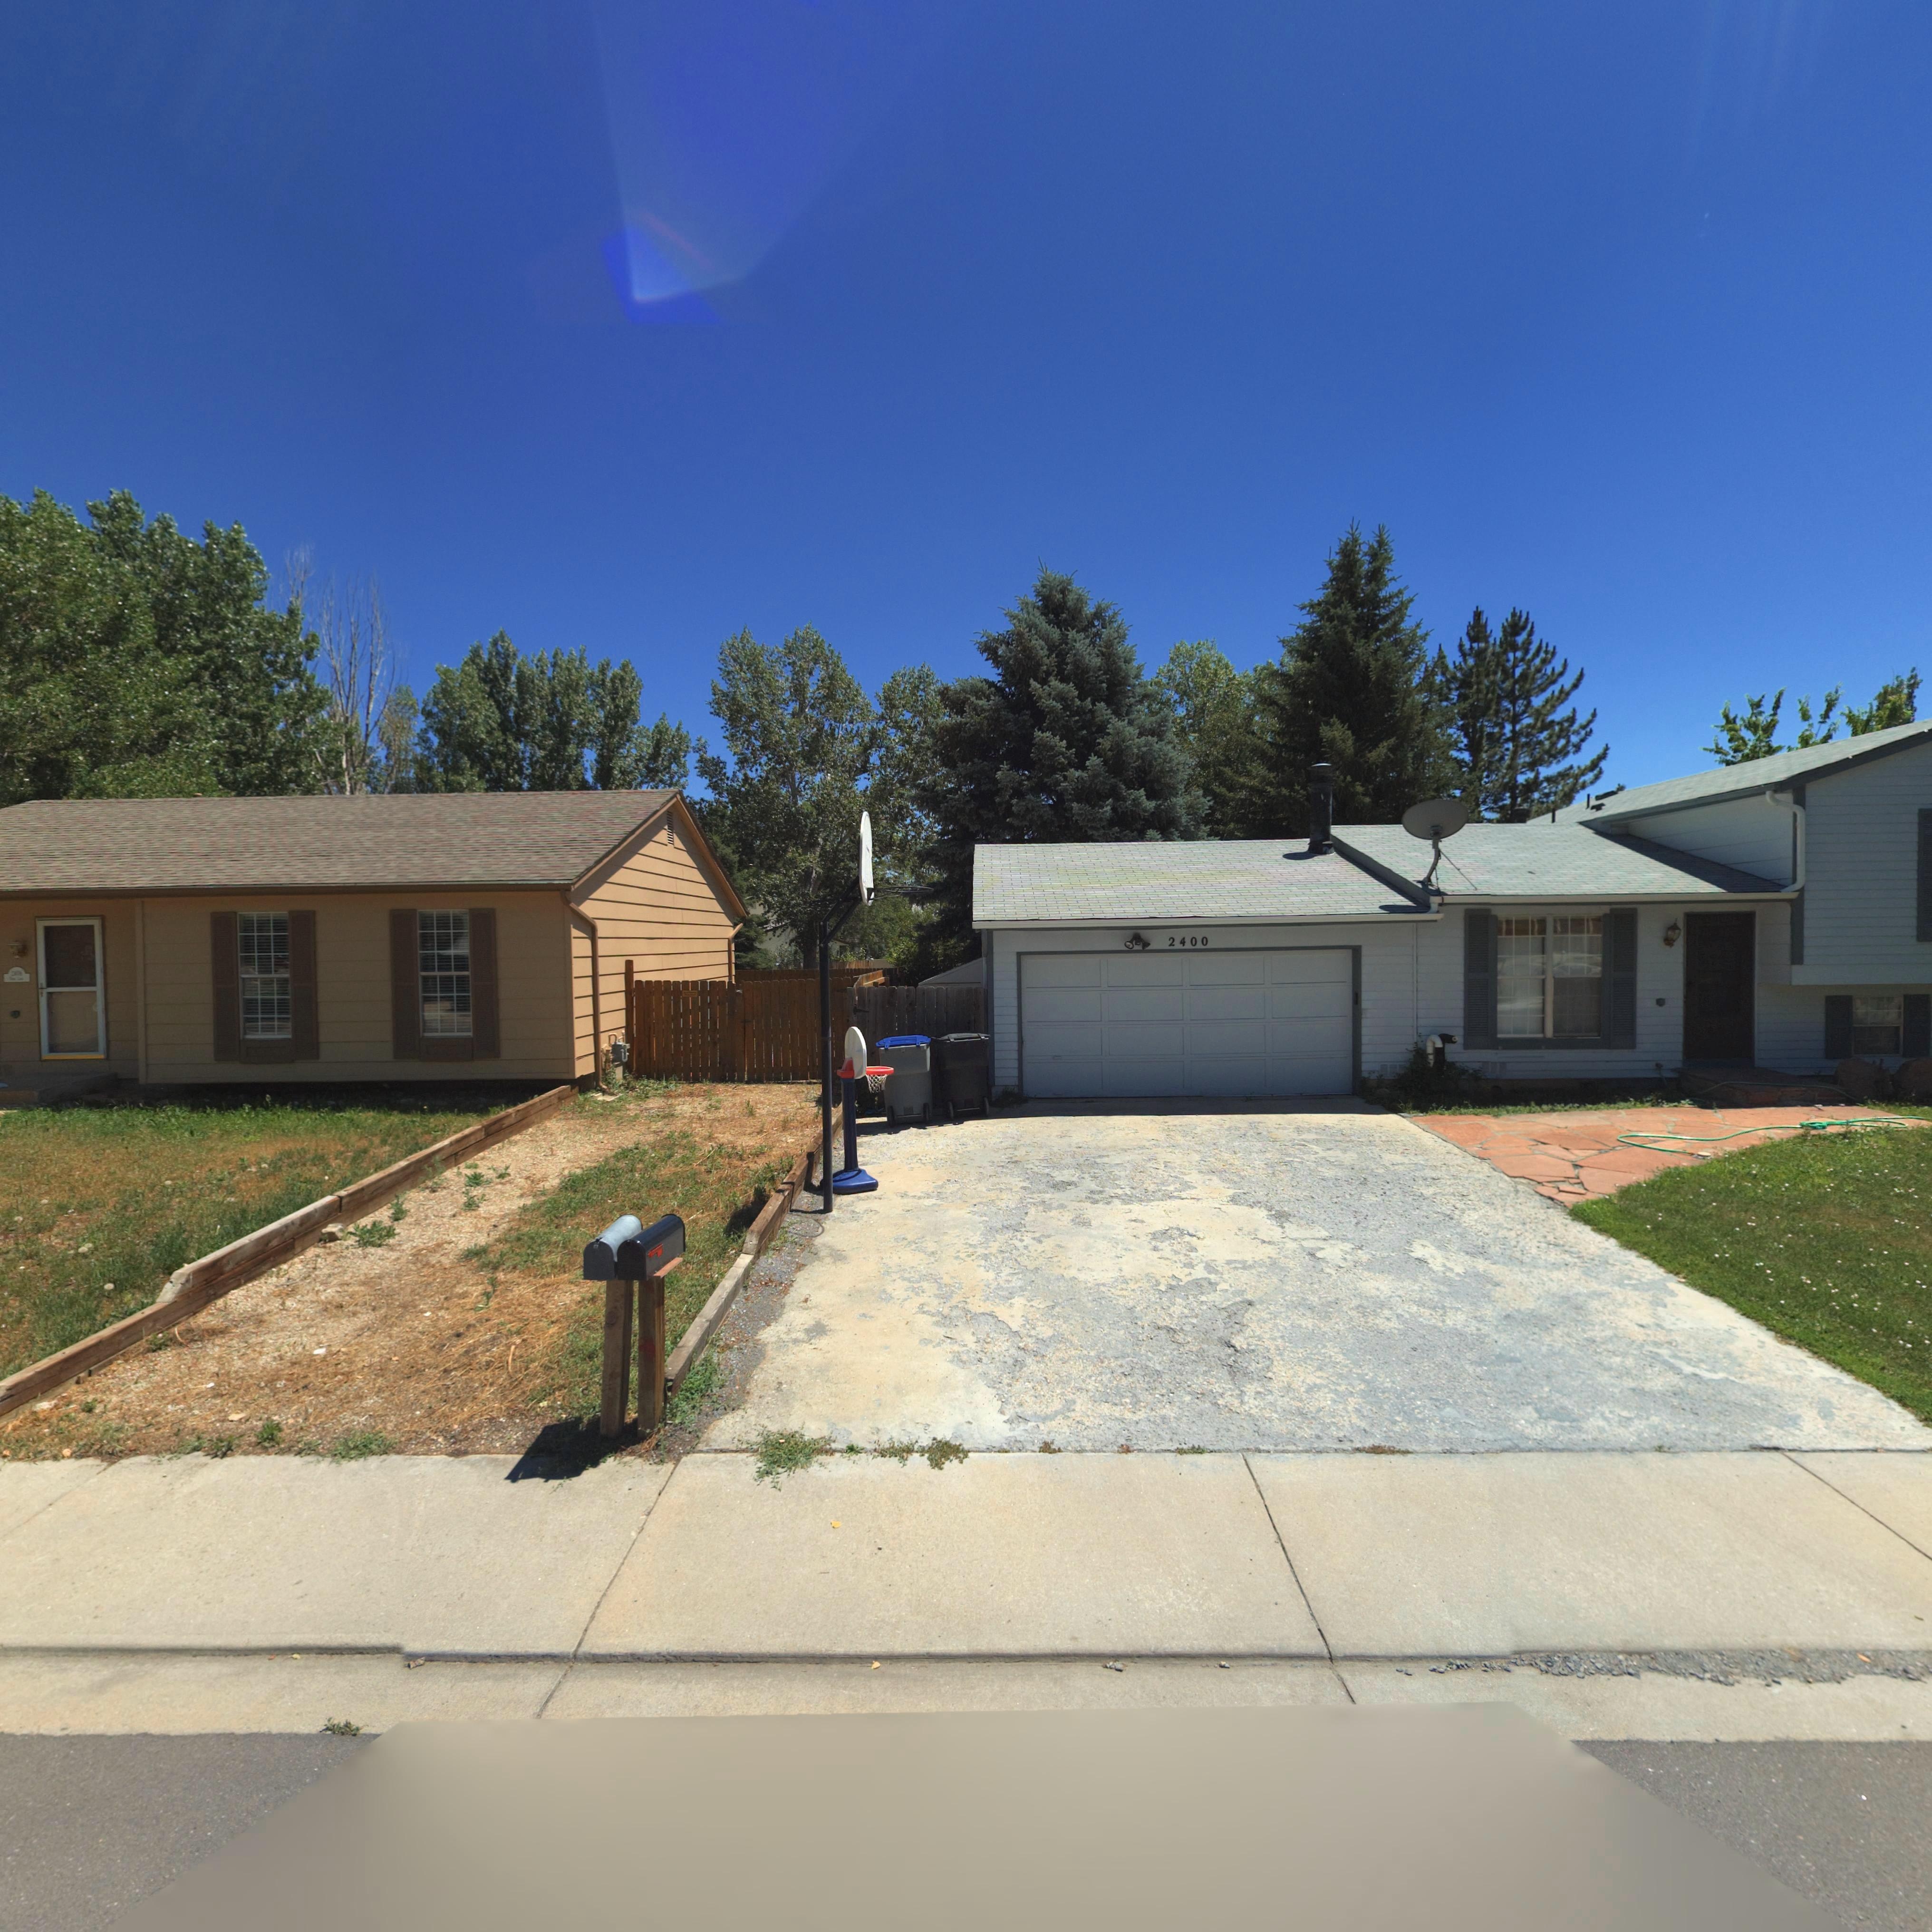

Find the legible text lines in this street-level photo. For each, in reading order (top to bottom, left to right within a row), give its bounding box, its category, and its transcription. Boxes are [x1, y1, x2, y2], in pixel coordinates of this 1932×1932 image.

[1166, 935, 1208, 947] StreetNumber: 2400